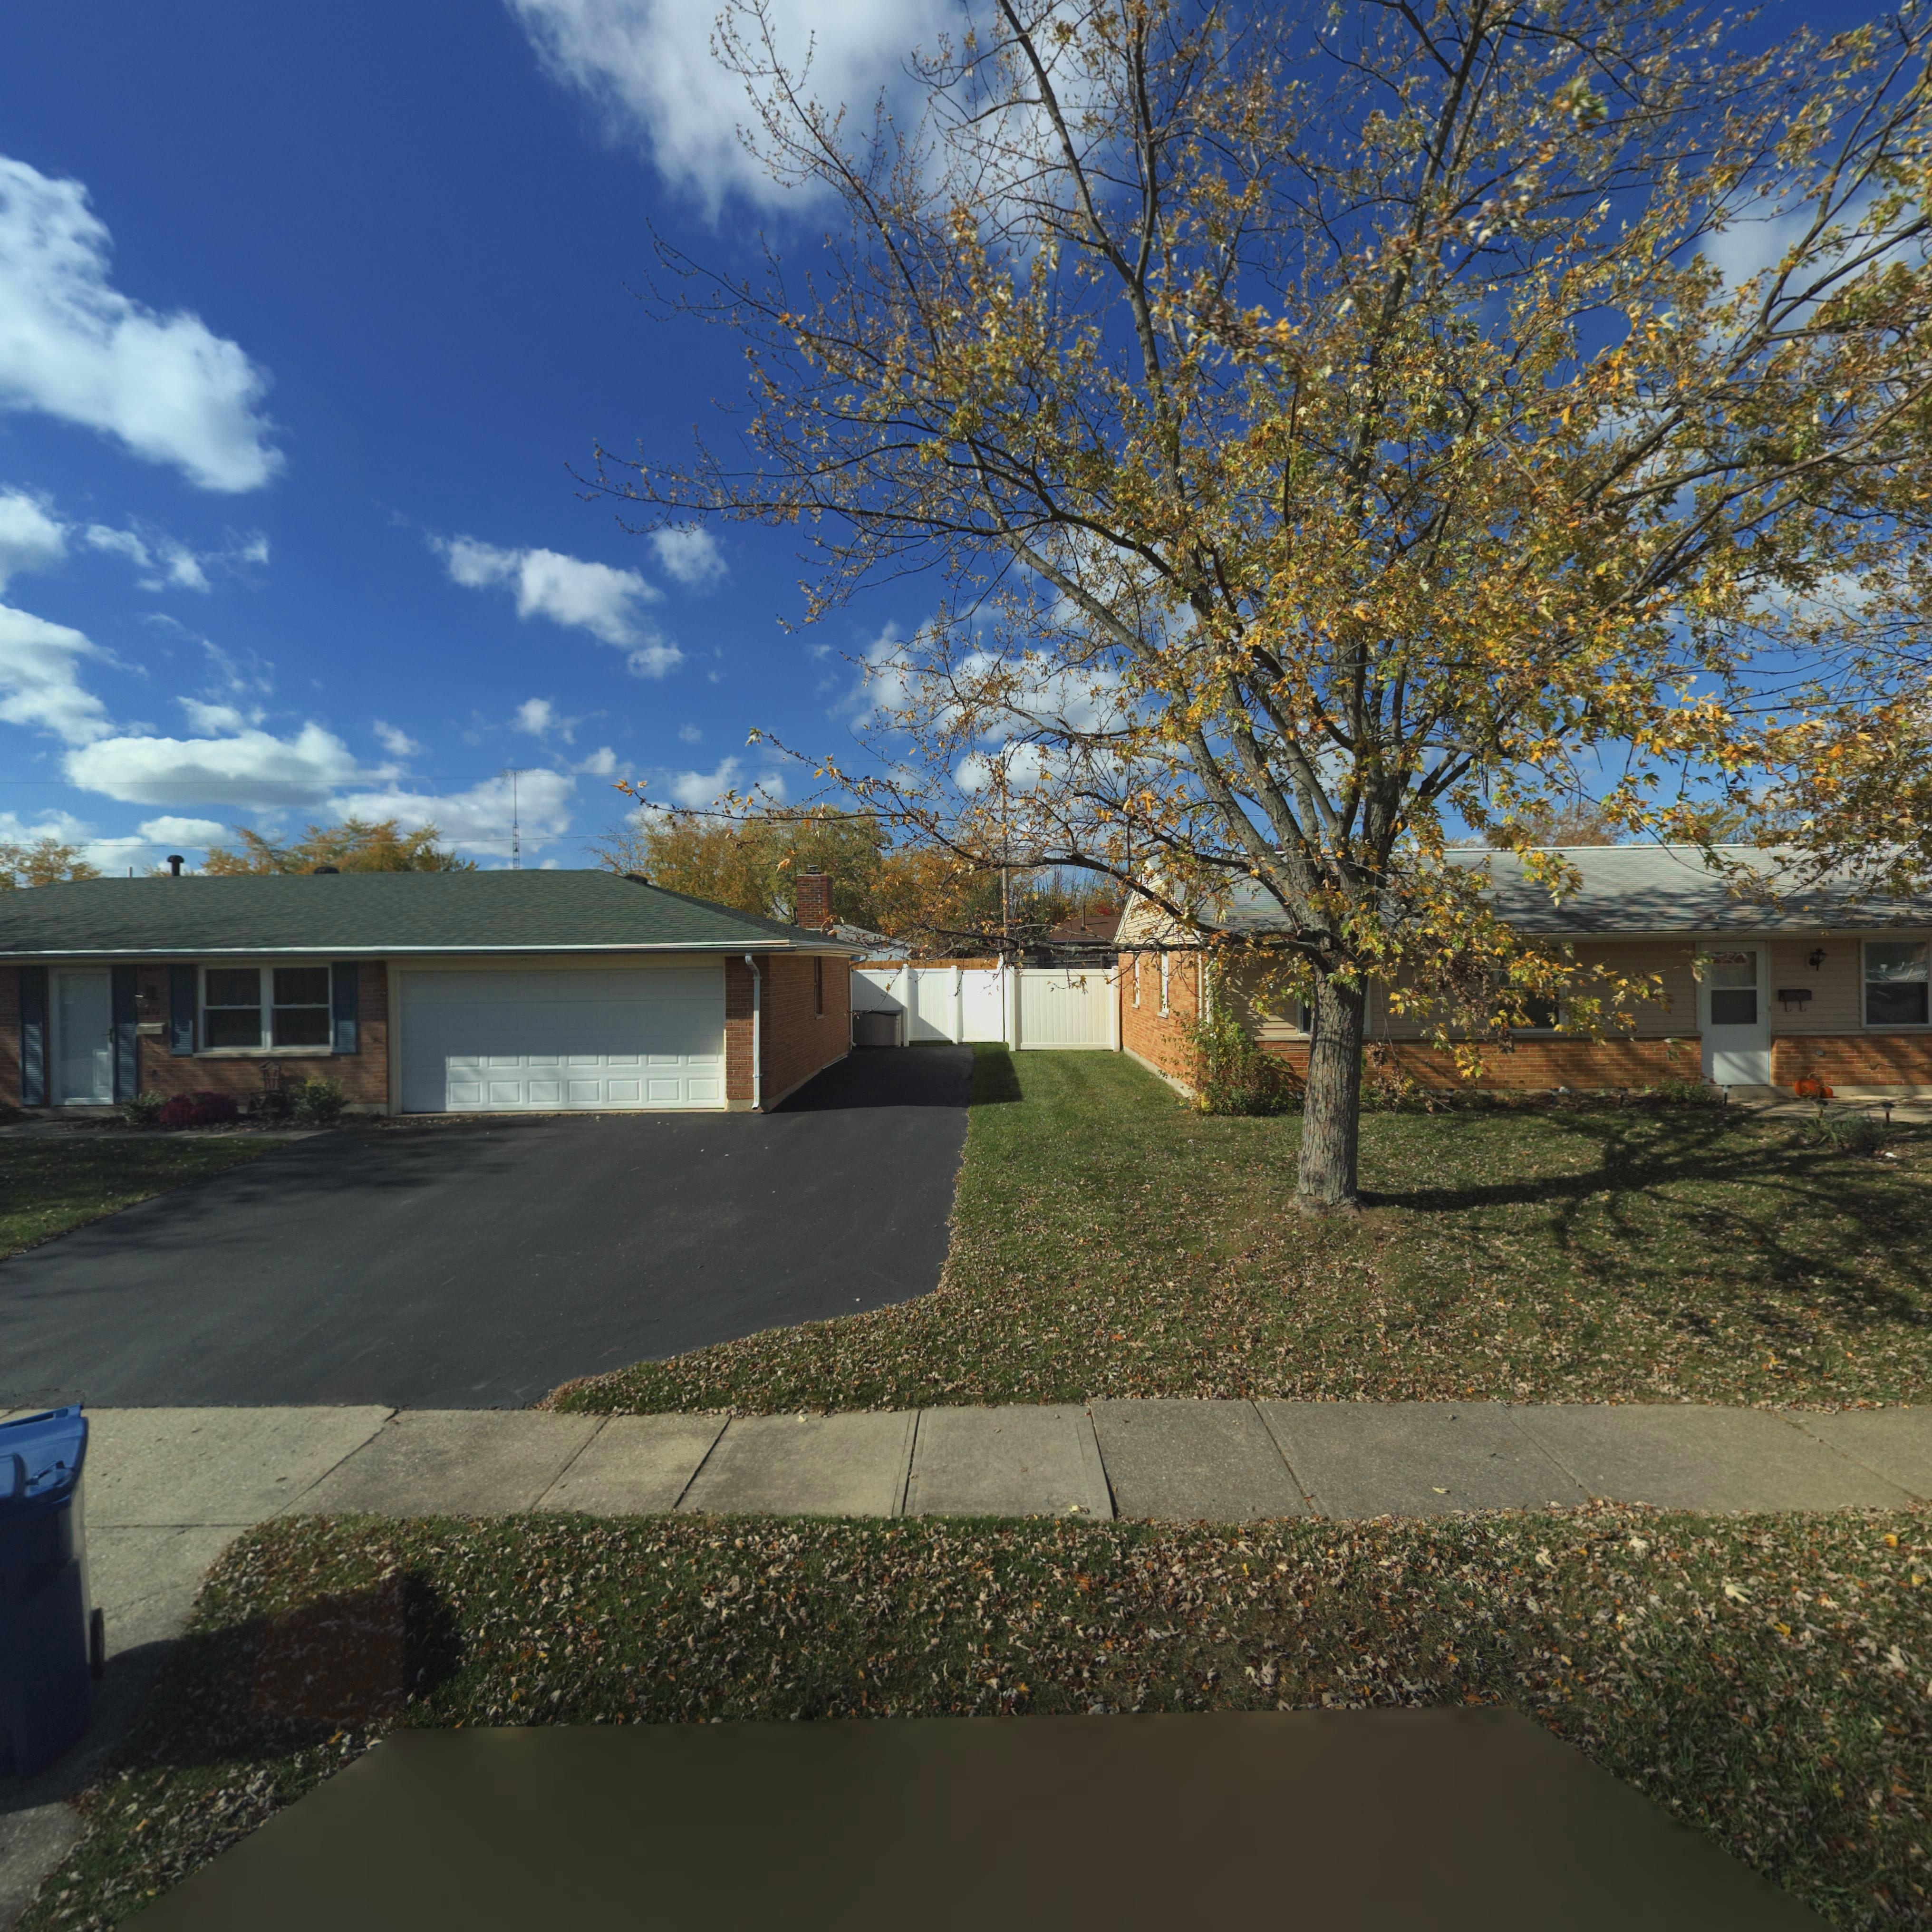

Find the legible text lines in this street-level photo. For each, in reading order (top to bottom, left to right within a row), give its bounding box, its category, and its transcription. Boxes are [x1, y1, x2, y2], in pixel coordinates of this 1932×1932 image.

[138, 1007, 161, 1016] StreetNumber: 6***